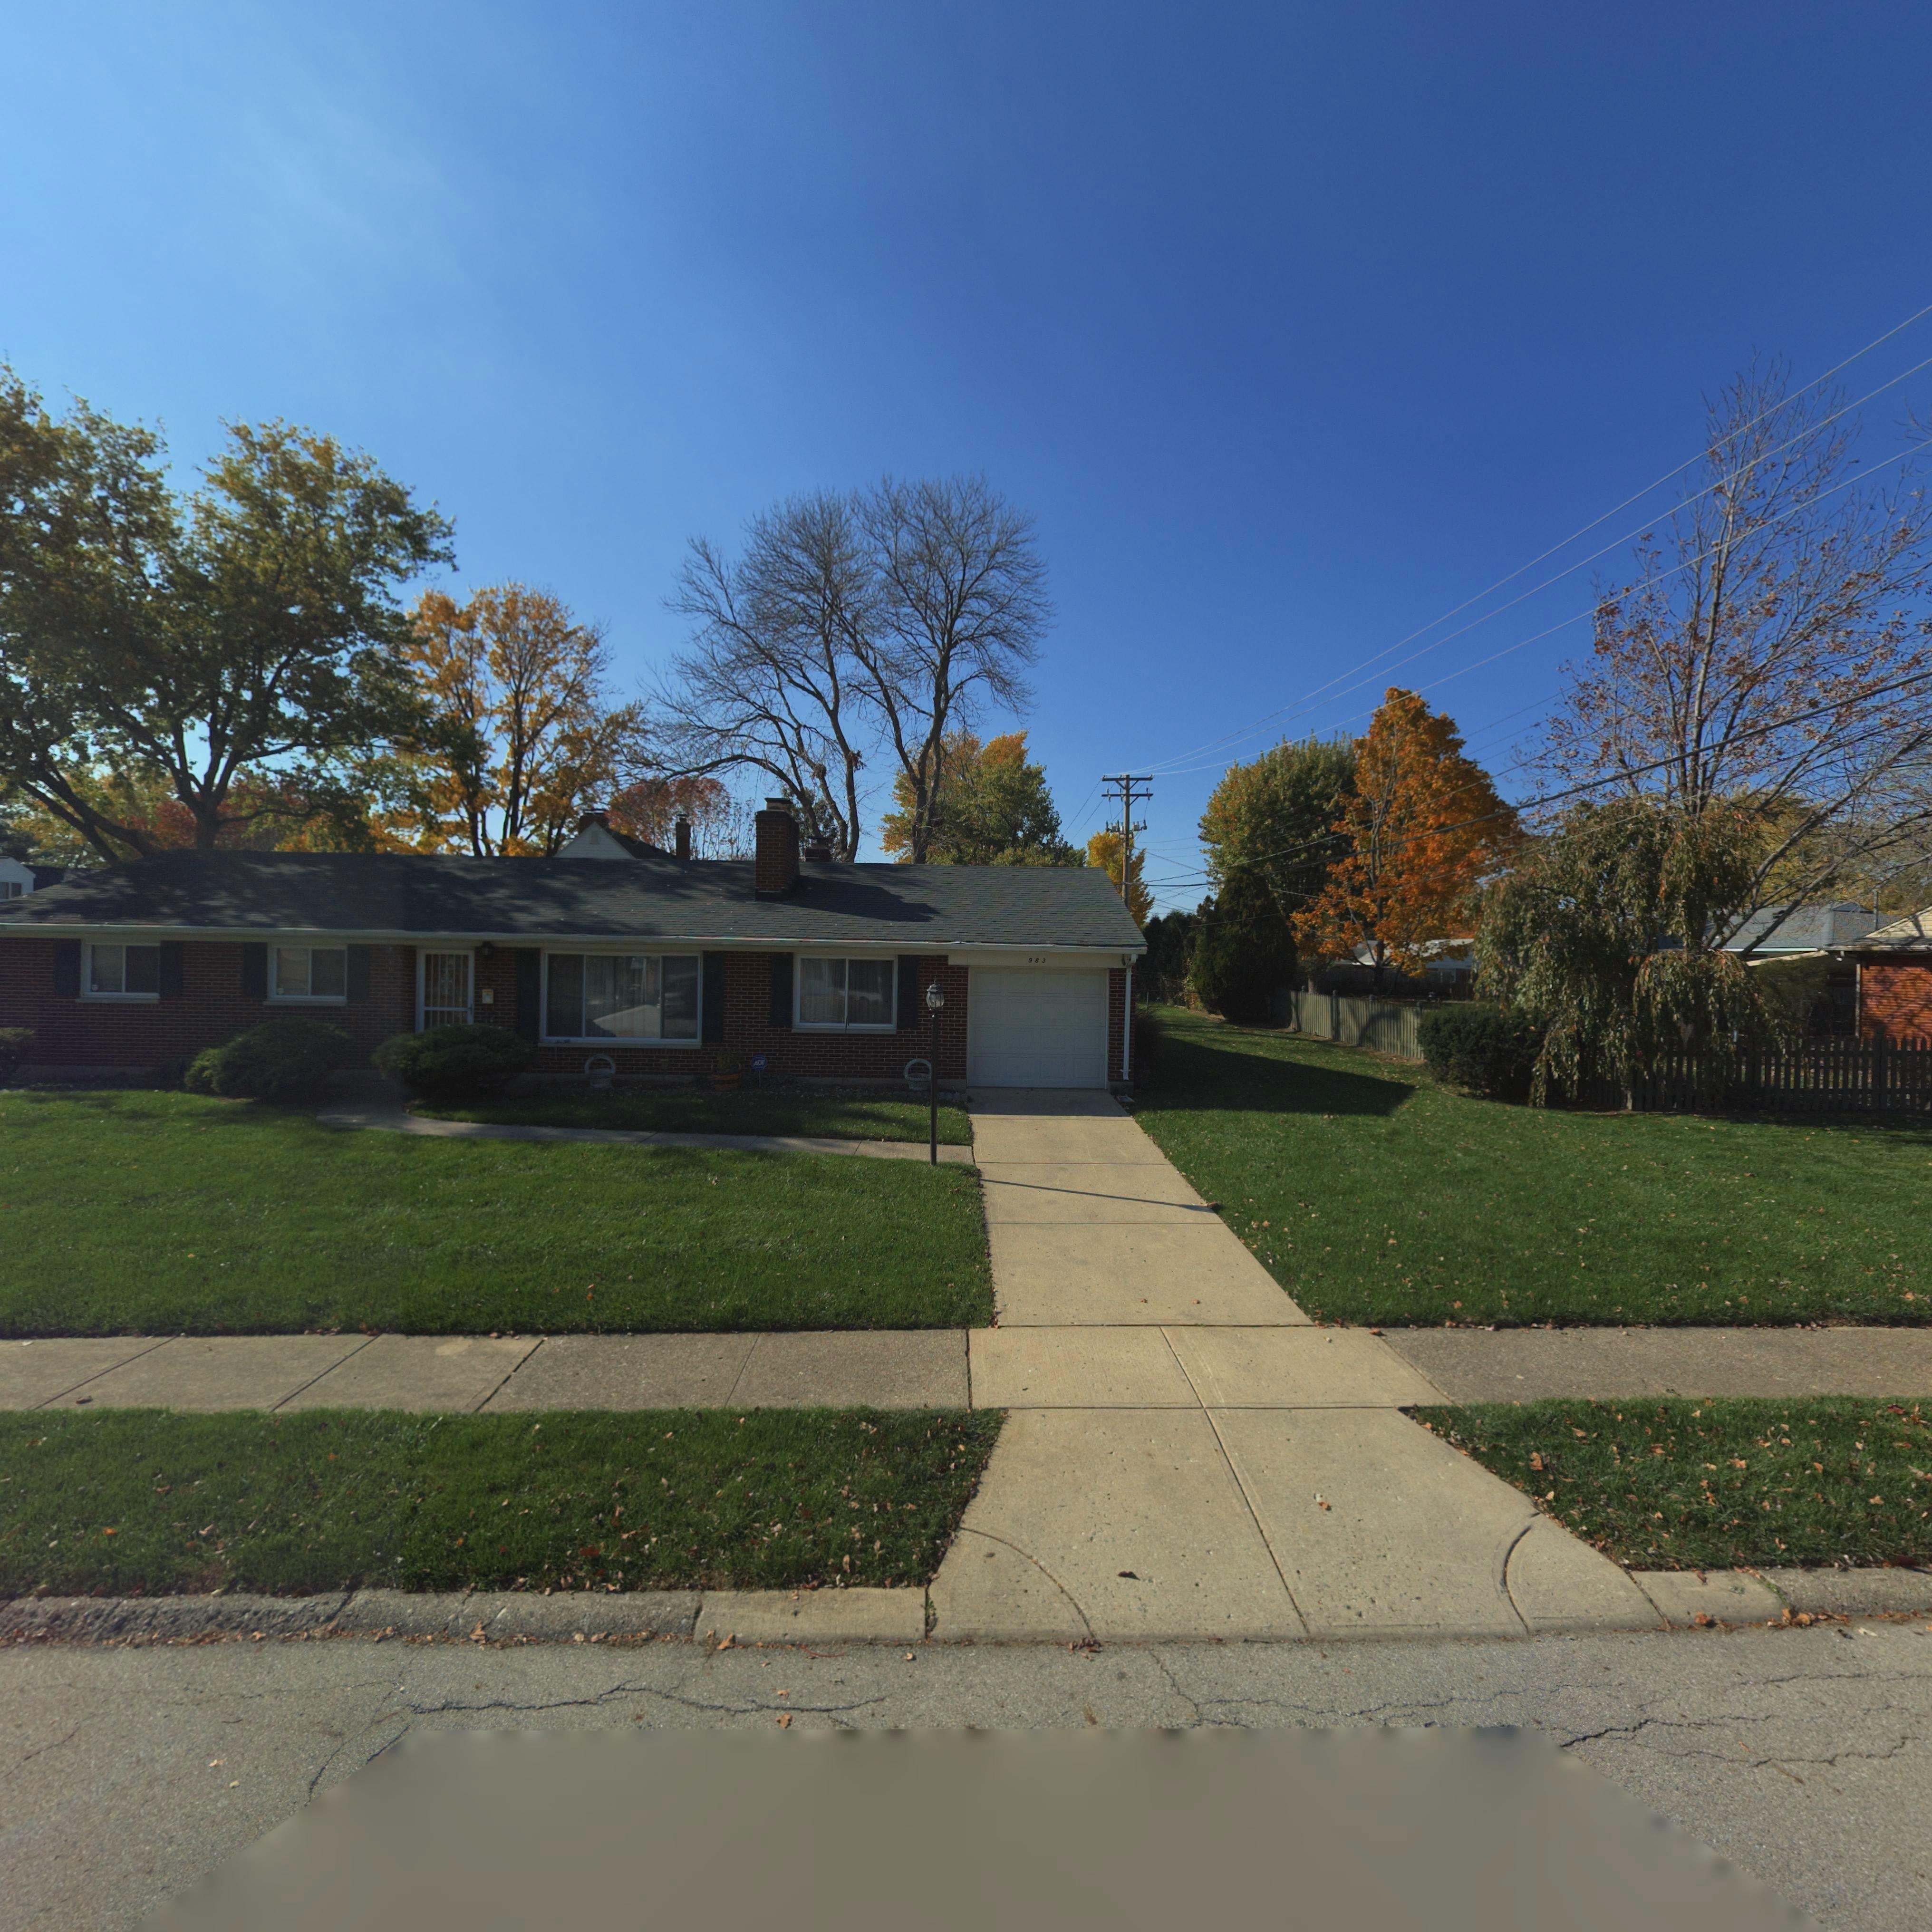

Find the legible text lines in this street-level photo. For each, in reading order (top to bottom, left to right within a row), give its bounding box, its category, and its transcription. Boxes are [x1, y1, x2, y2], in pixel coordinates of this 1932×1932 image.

[1028, 957, 1046, 964] StreetNumber: 983